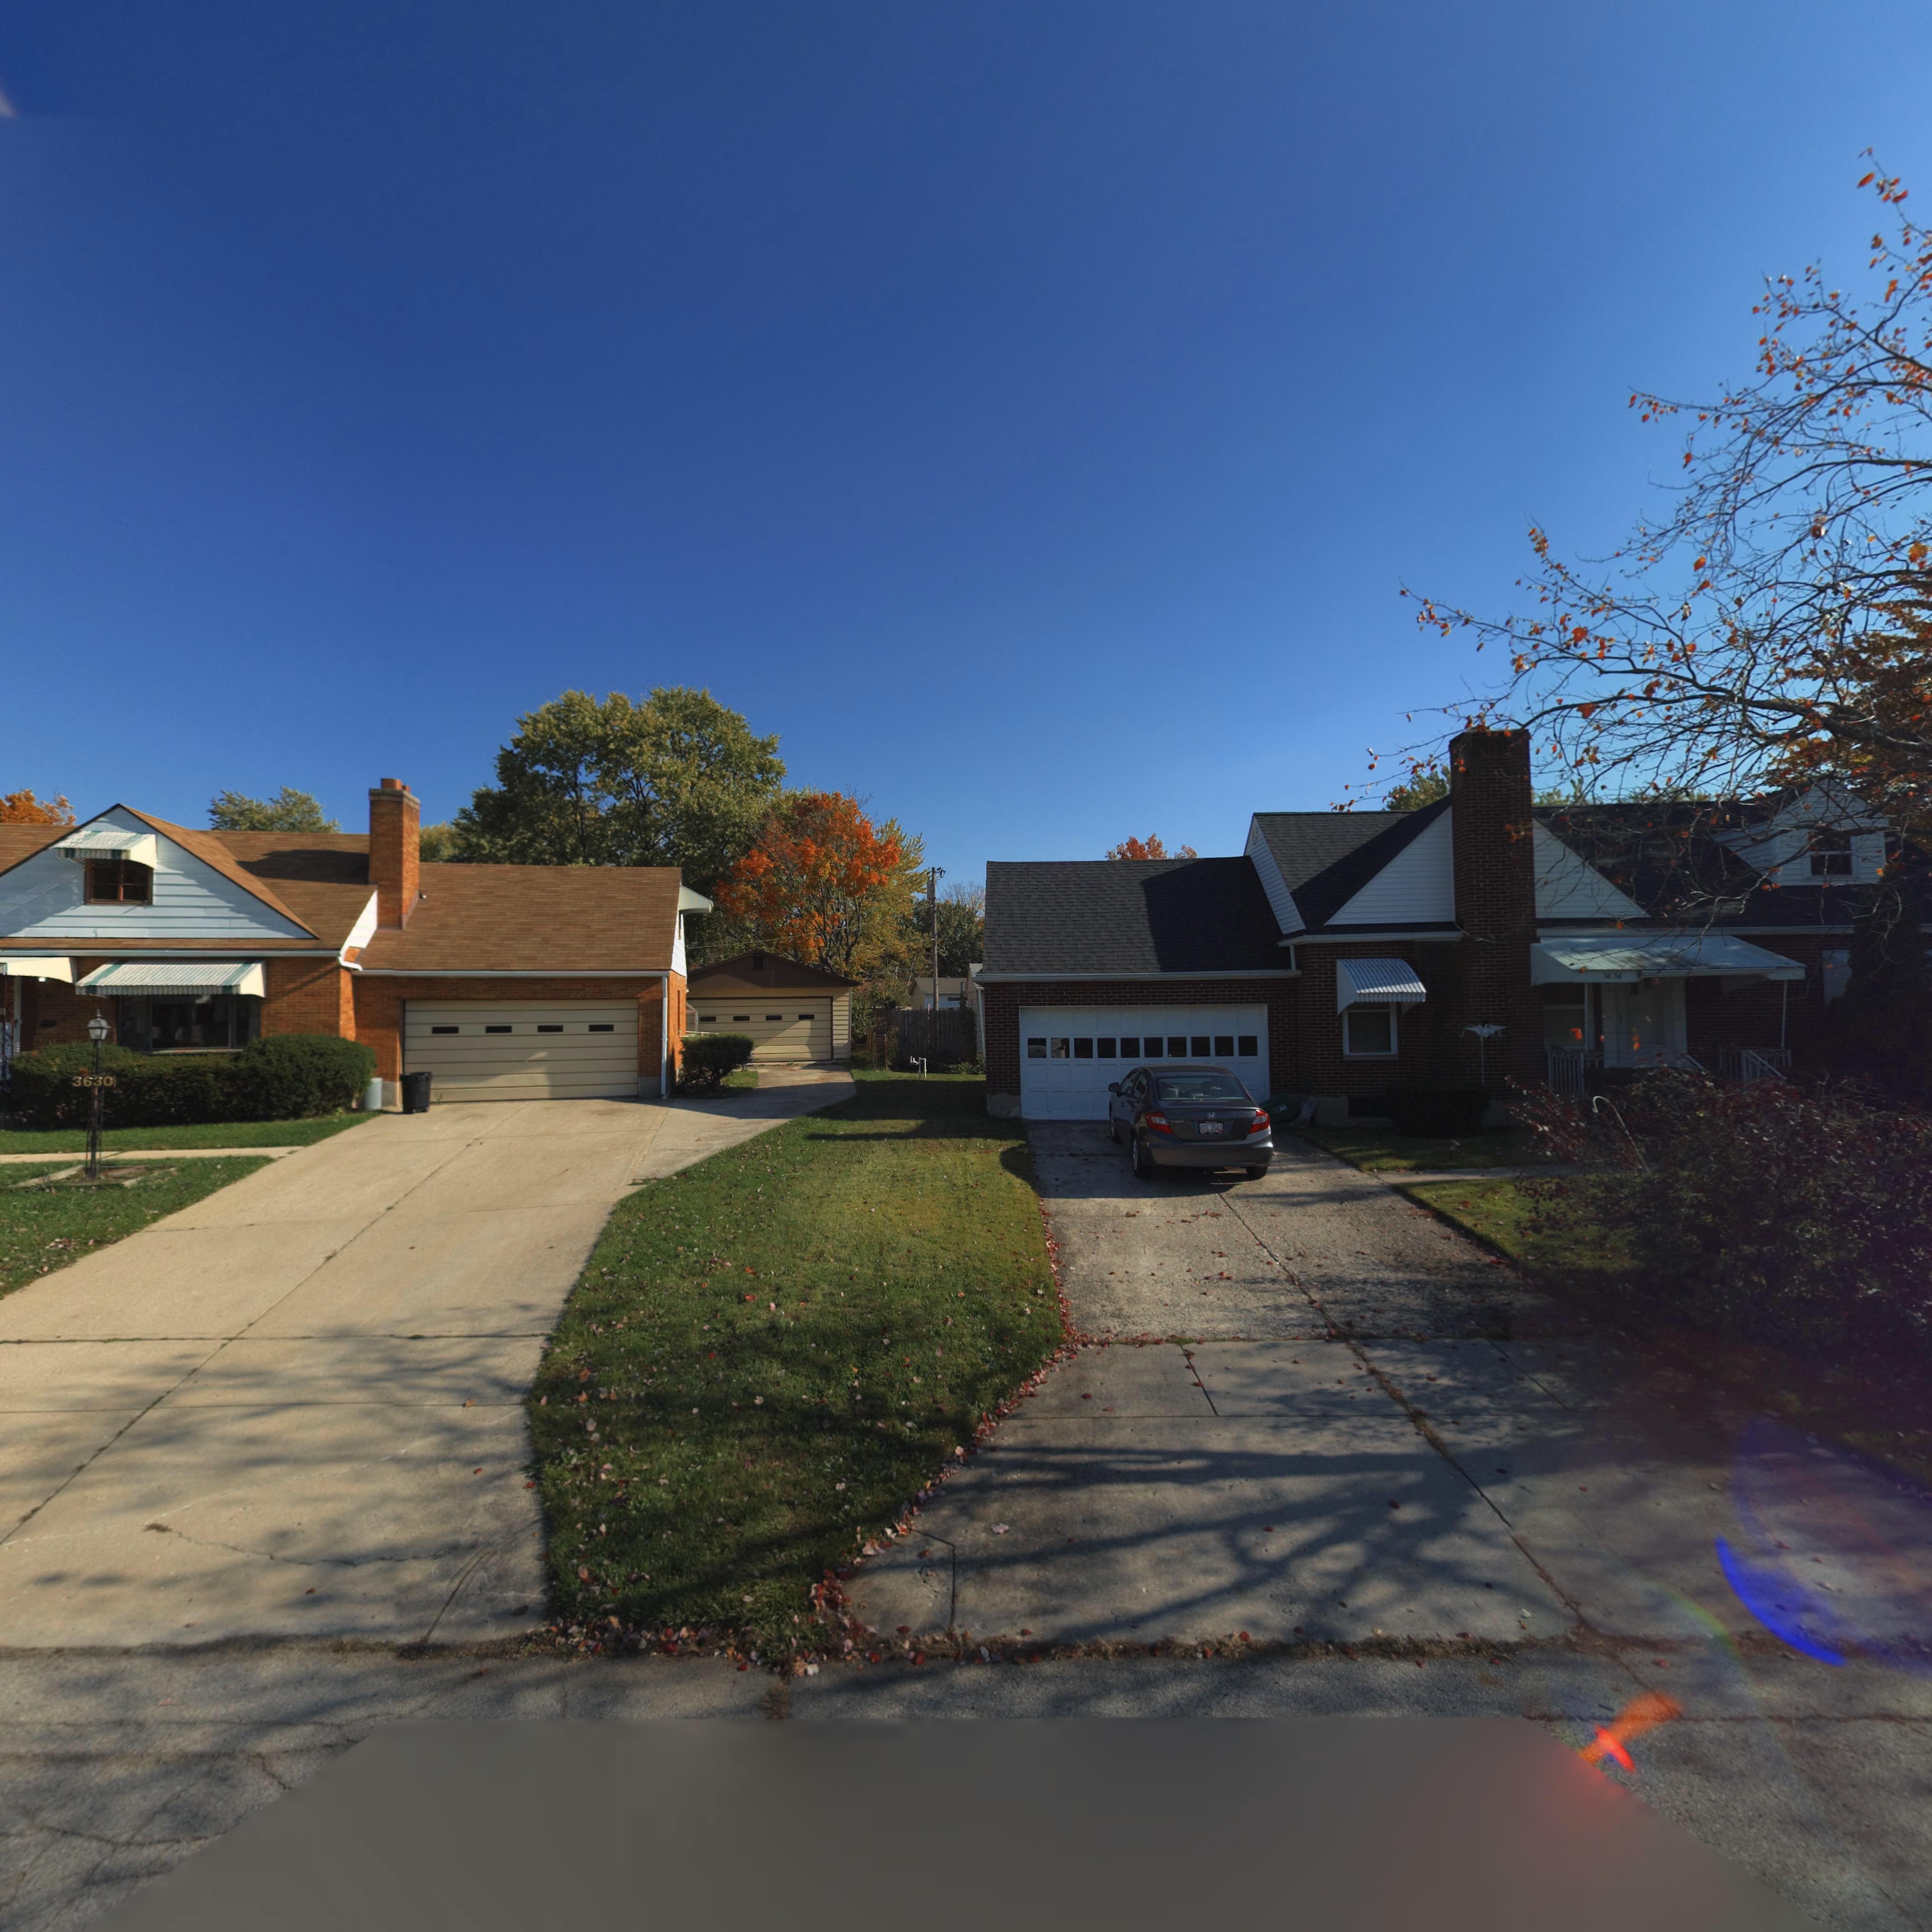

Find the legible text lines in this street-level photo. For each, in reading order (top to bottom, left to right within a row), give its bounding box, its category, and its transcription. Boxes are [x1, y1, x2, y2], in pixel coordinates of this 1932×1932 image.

[1602, 972, 1623, 979] StreetNumber: 3636
[71, 1075, 115, 1087] StreetNumber: 3630
[1272, 1104, 1289, 1115] None: WM
[1200, 1124, 1222, 1131] None: CFL*3543